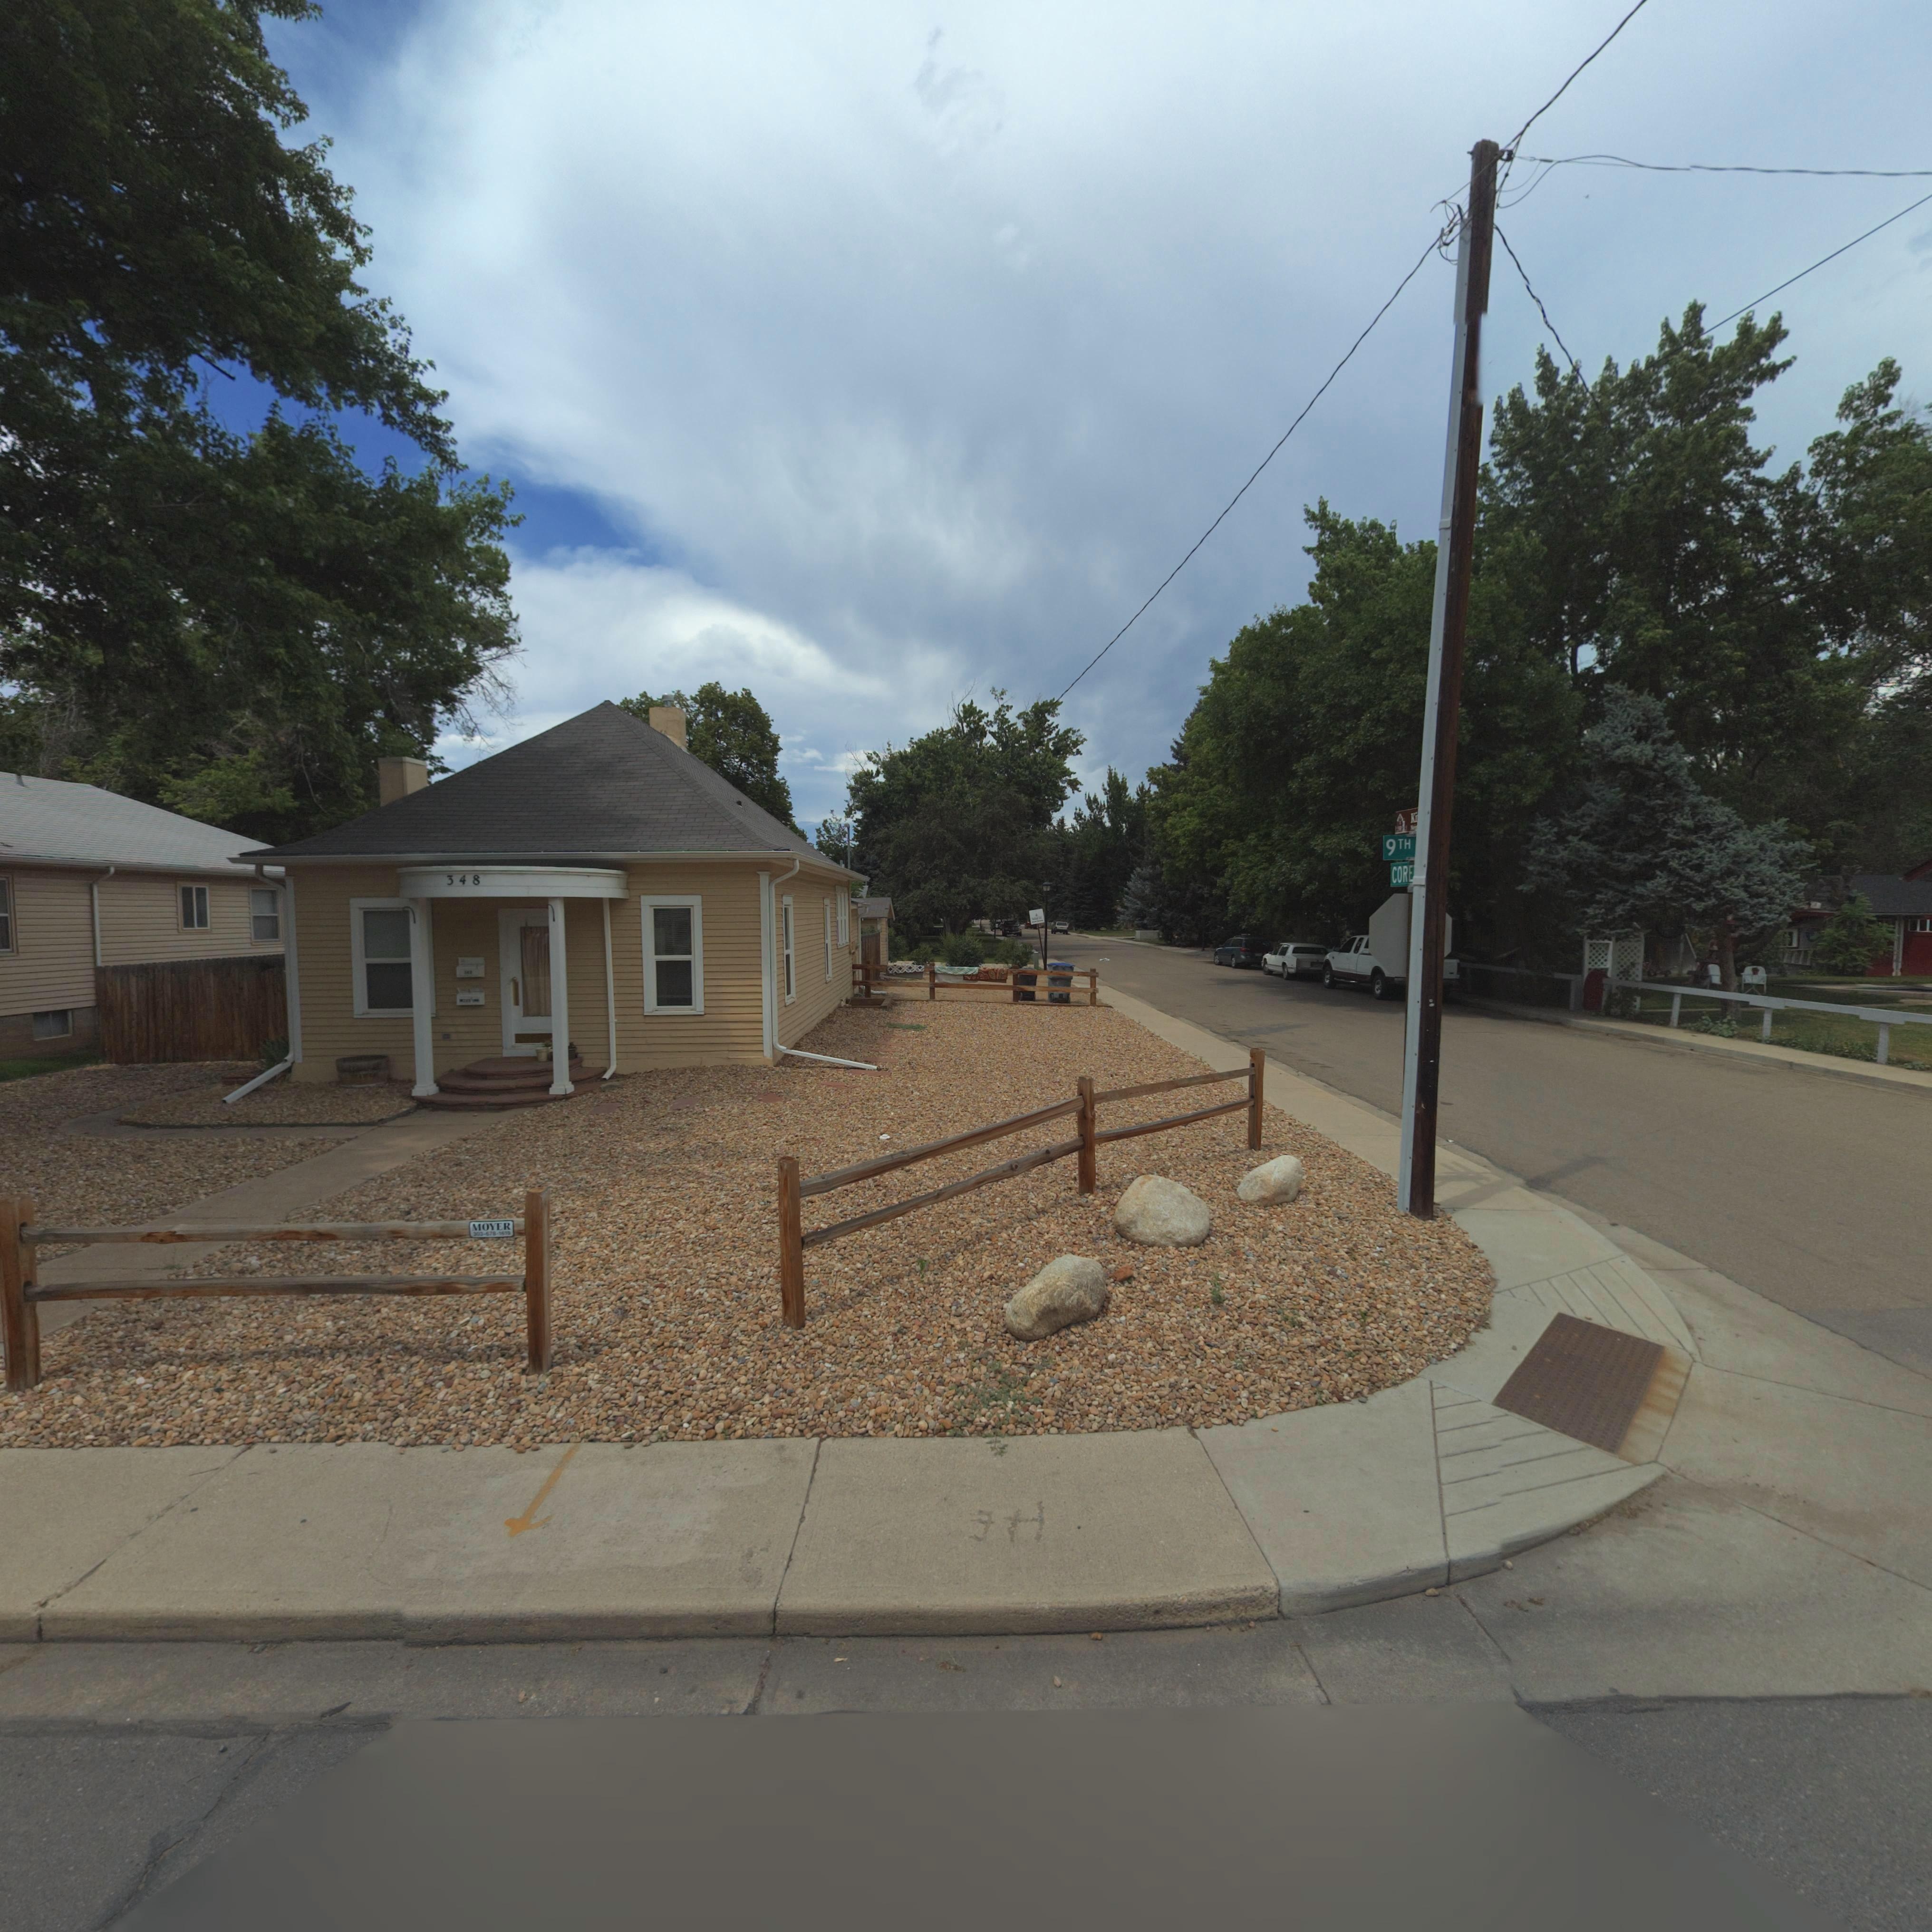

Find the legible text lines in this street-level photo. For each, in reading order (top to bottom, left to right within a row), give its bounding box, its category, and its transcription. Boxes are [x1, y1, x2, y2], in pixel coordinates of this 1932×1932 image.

[1385, 838, 1411, 856] StreetName: 9TH
[447, 875, 479, 885] StreetNumber: 348
[1391, 864, 1413, 883] StreetName: CORE